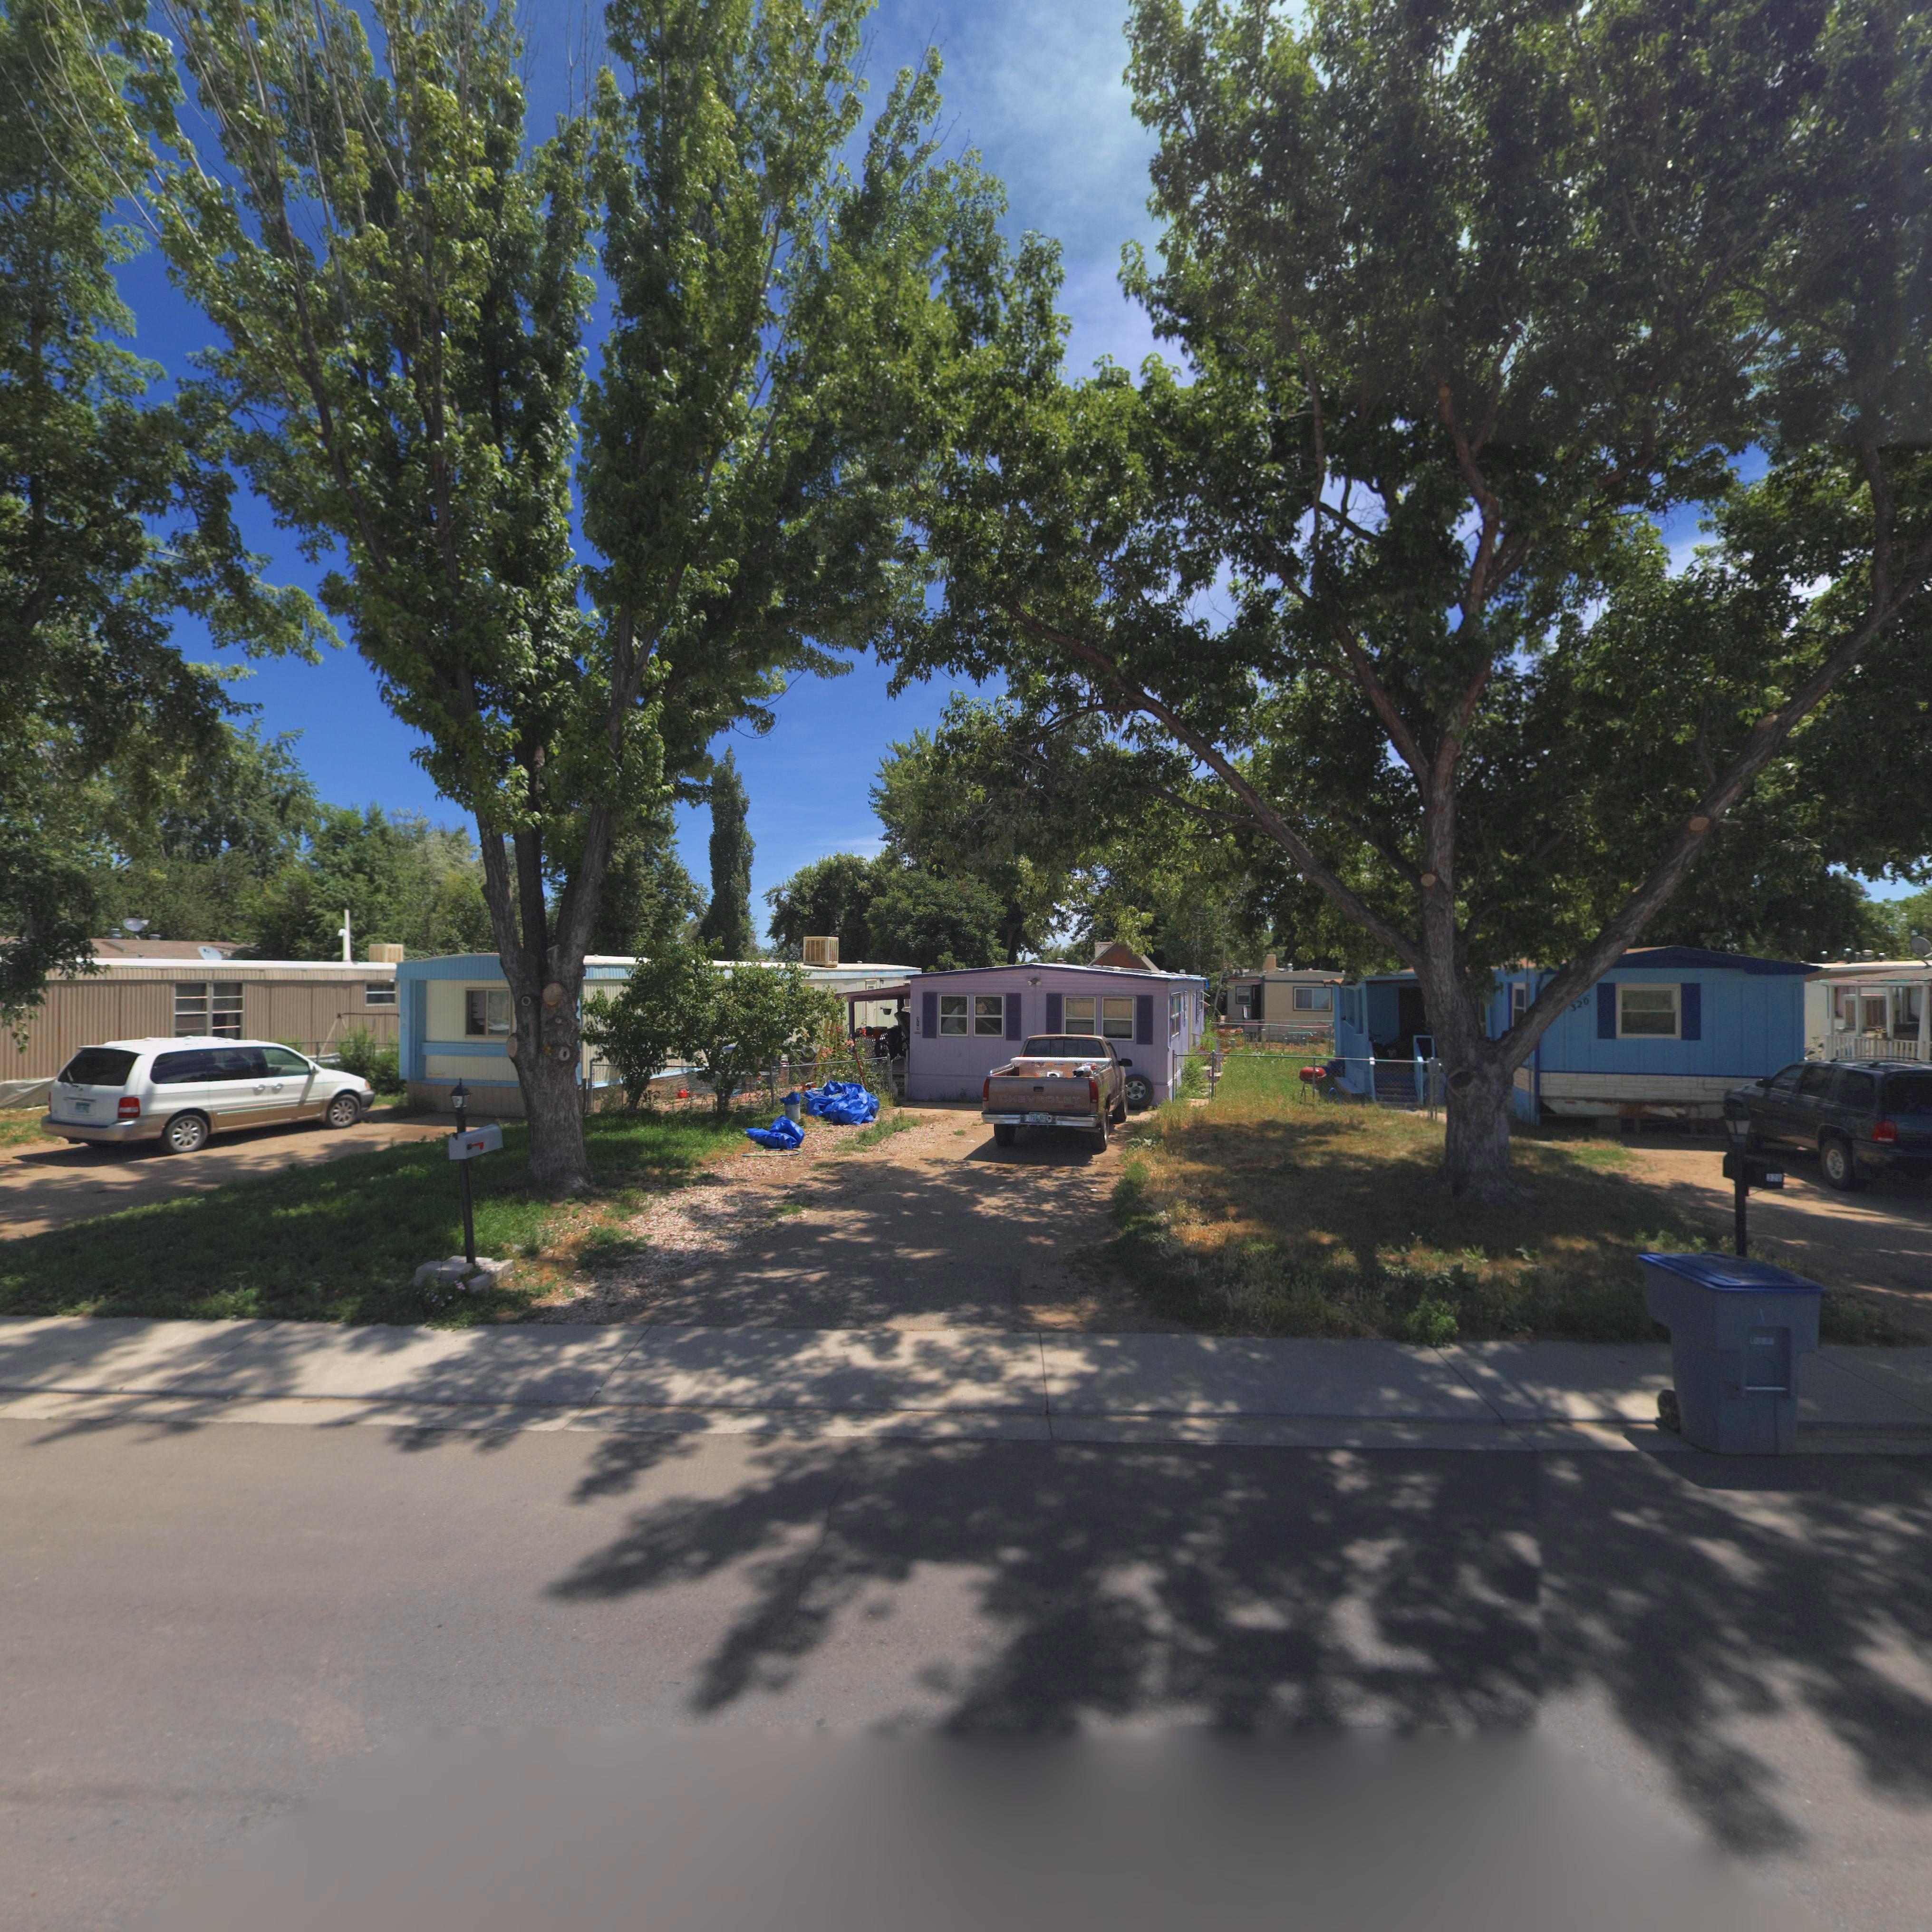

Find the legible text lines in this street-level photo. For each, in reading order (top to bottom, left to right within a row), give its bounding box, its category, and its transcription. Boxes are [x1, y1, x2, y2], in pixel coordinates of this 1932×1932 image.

[1571, 996, 1590, 1012] StreetNumber: 320
[916, 1016, 919, 1031] StreetNumber: 31*
[1766, 1173, 1782, 1182] StreetNumber: 32*